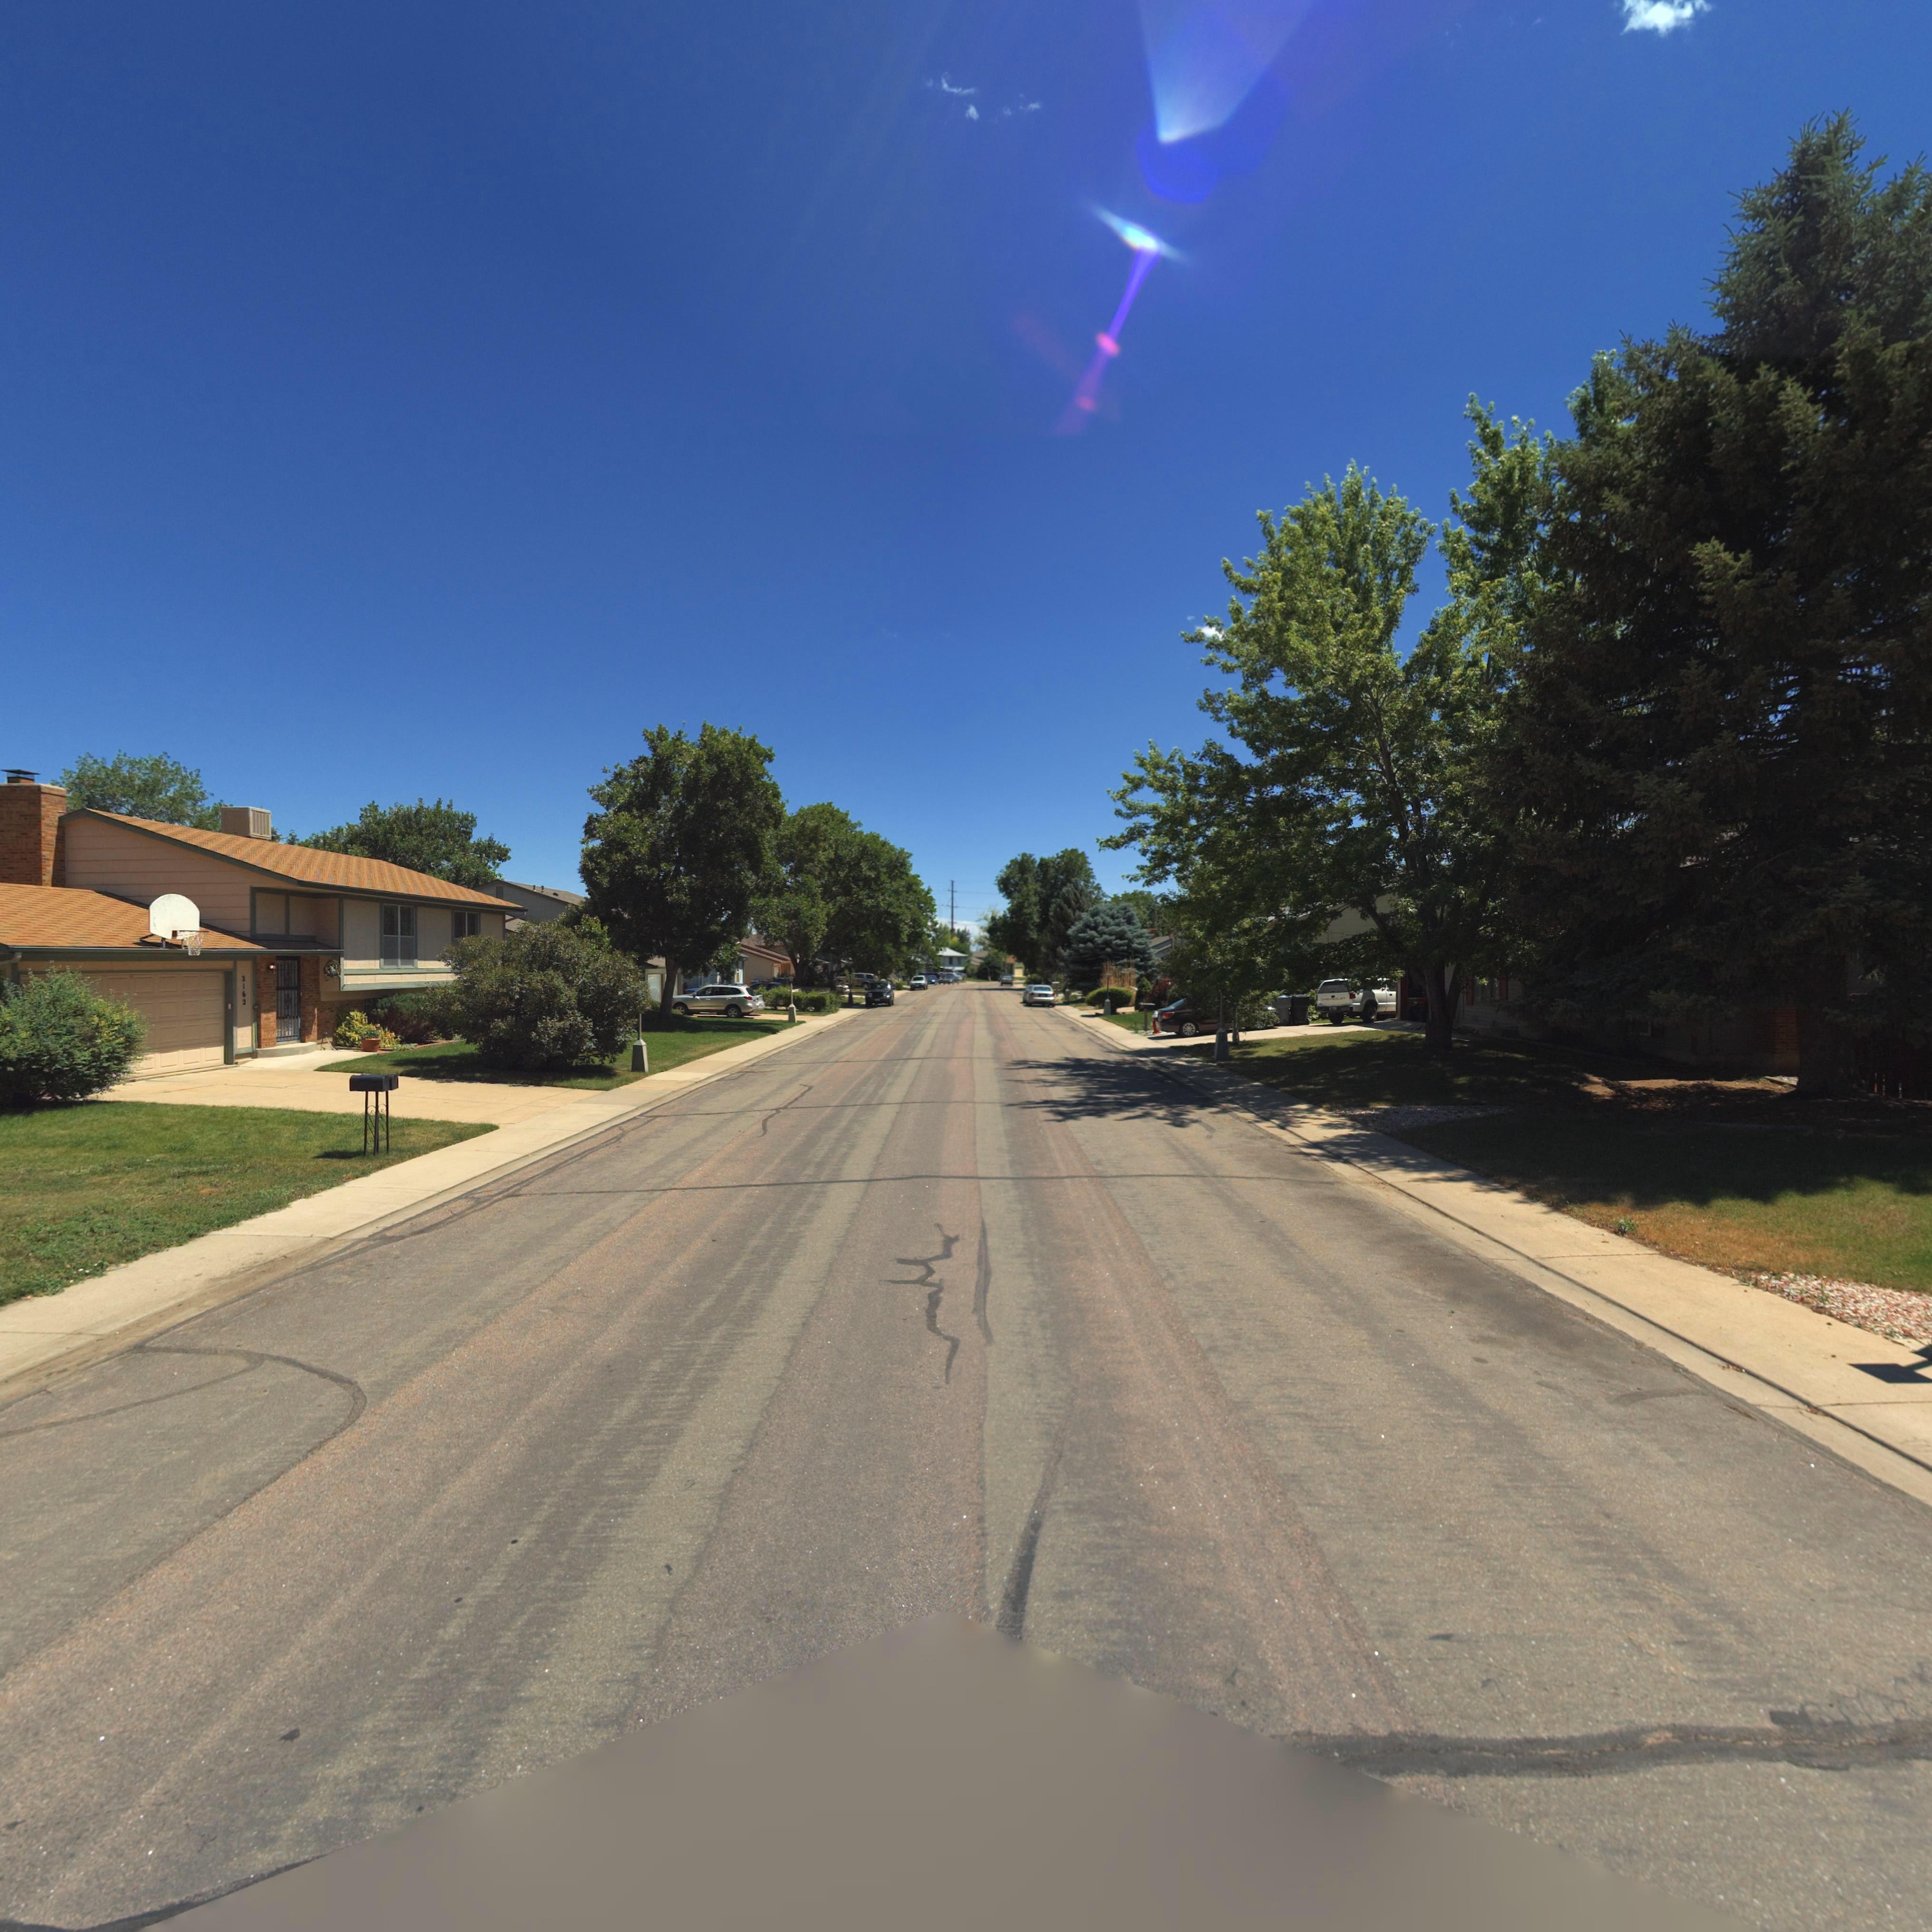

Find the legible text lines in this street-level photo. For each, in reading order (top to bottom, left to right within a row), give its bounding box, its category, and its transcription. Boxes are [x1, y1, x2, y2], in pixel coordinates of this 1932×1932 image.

[241, 975, 246, 1005] StreetNumber: 2162